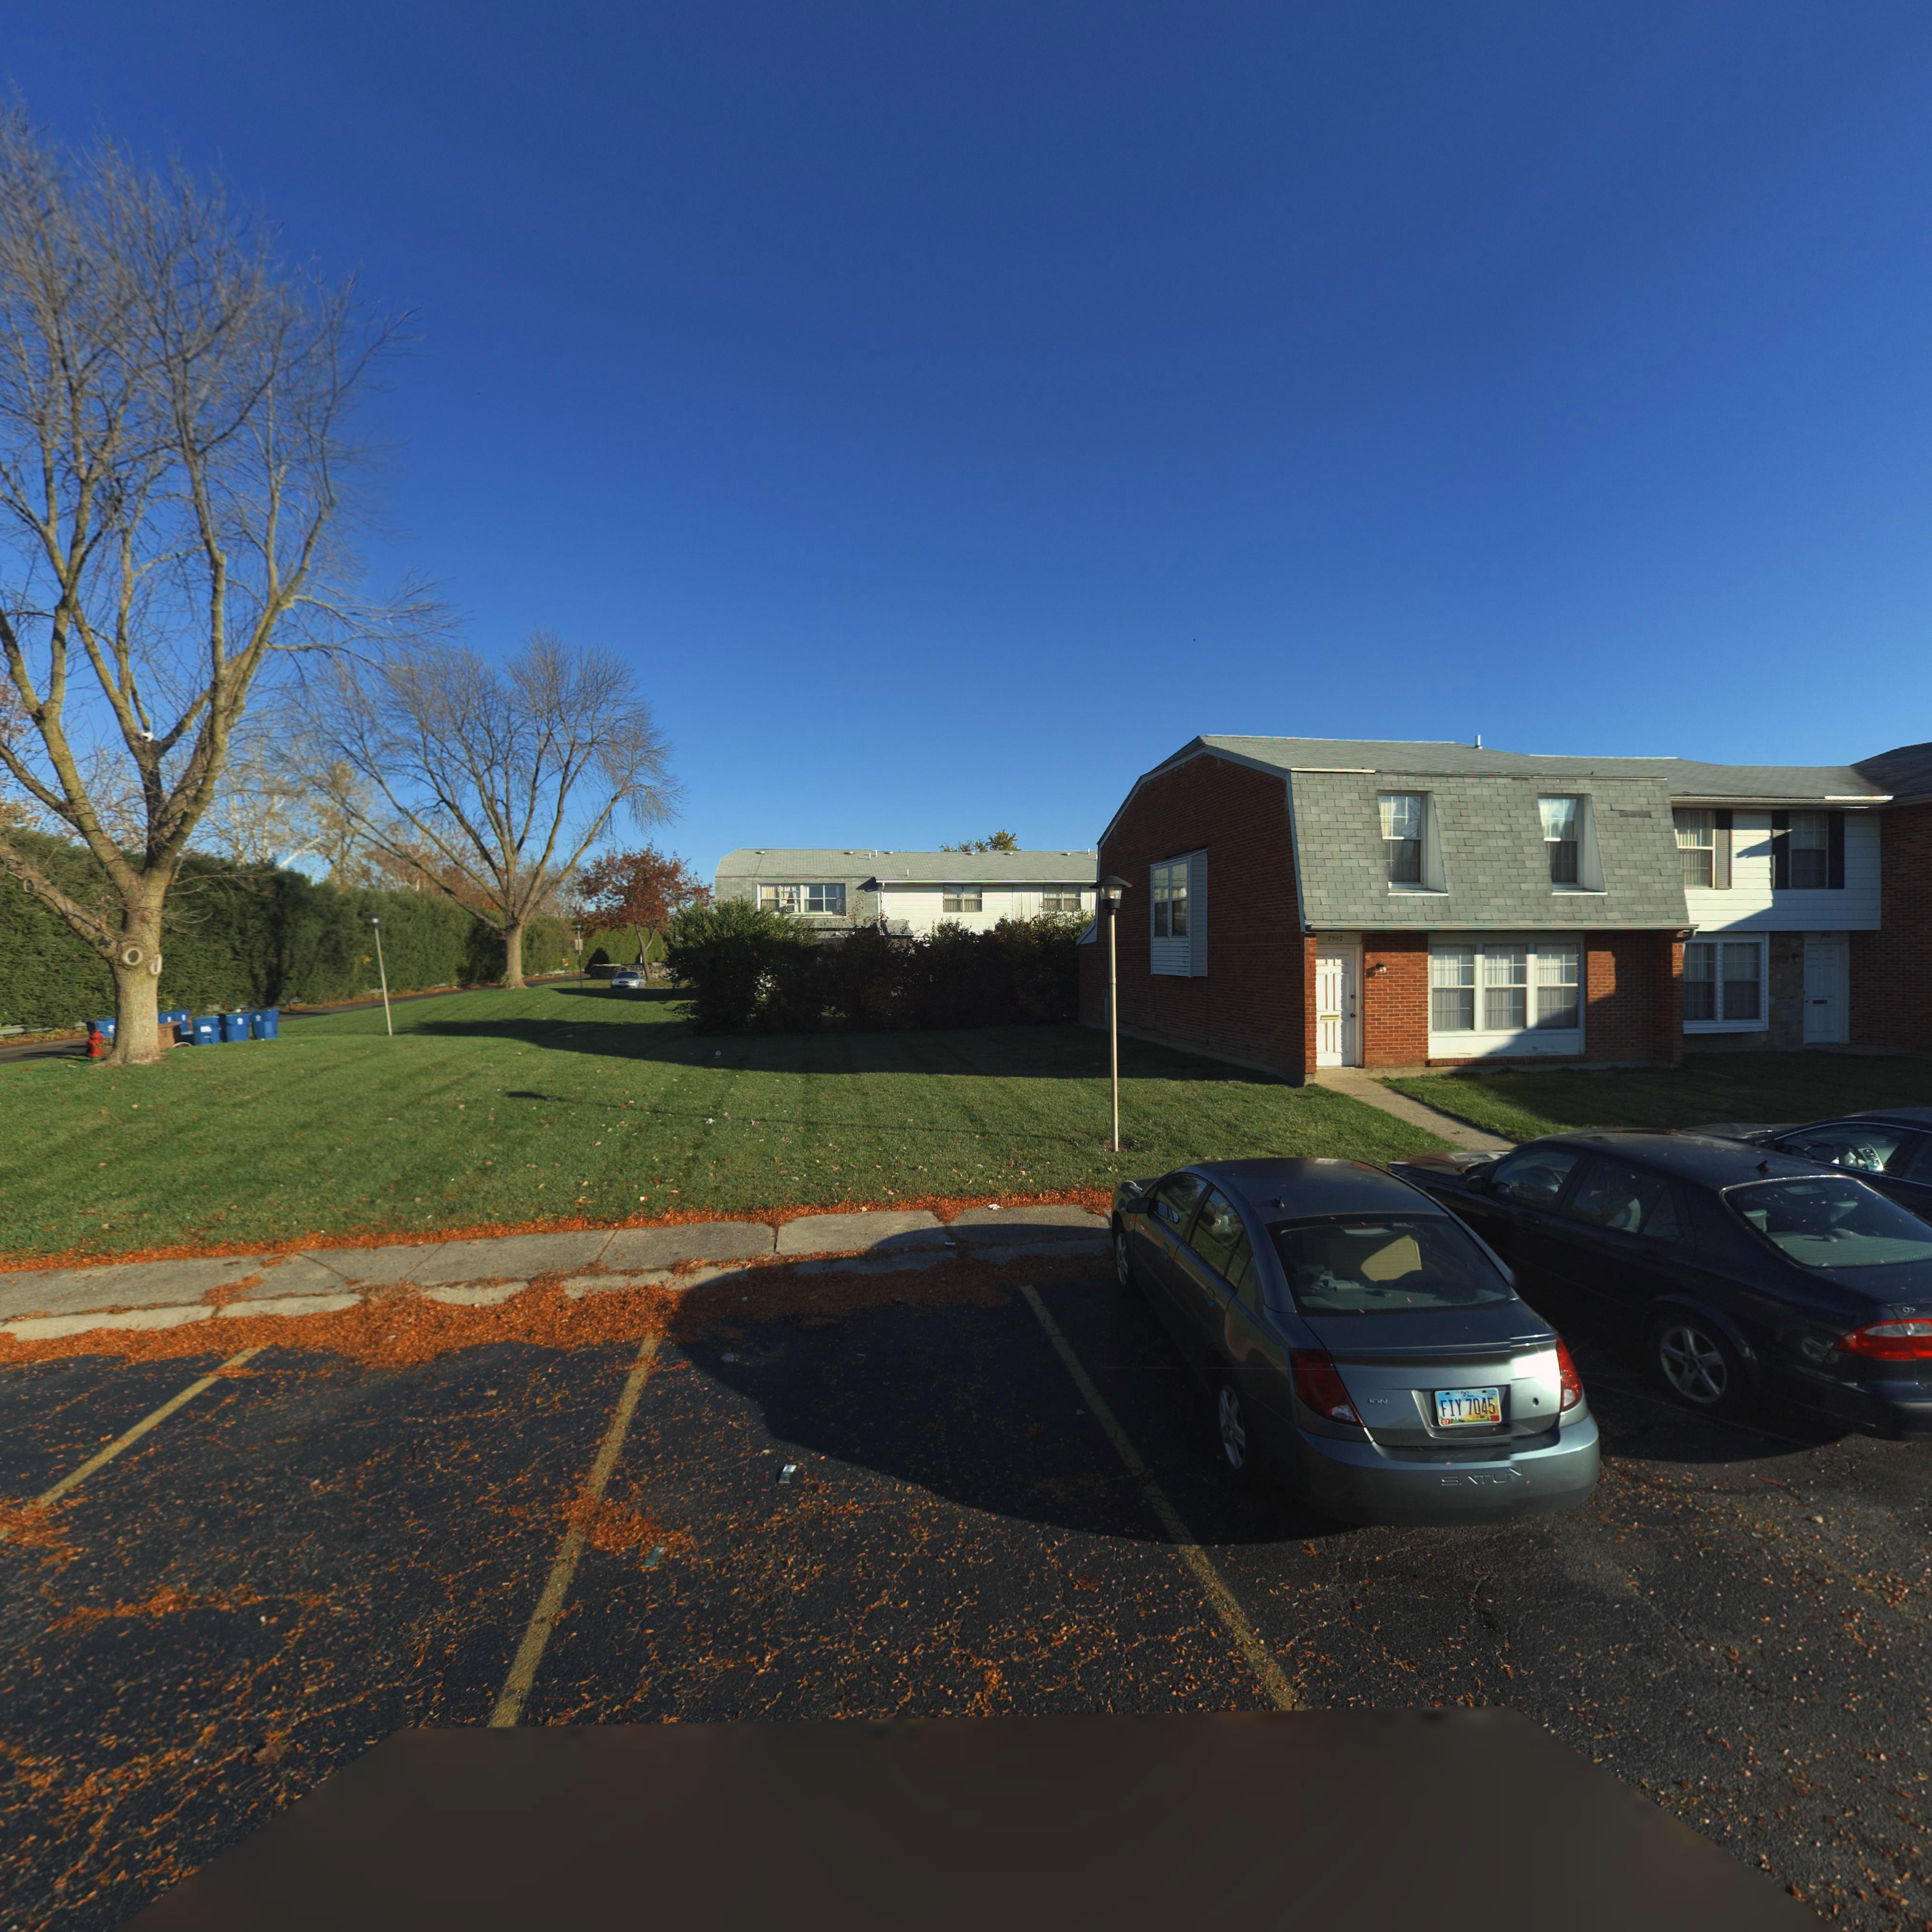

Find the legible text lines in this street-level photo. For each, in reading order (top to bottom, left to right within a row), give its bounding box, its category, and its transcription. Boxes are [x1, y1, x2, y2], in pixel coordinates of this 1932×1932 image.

[1327, 934, 1344, 942] StreetNumber: 7512